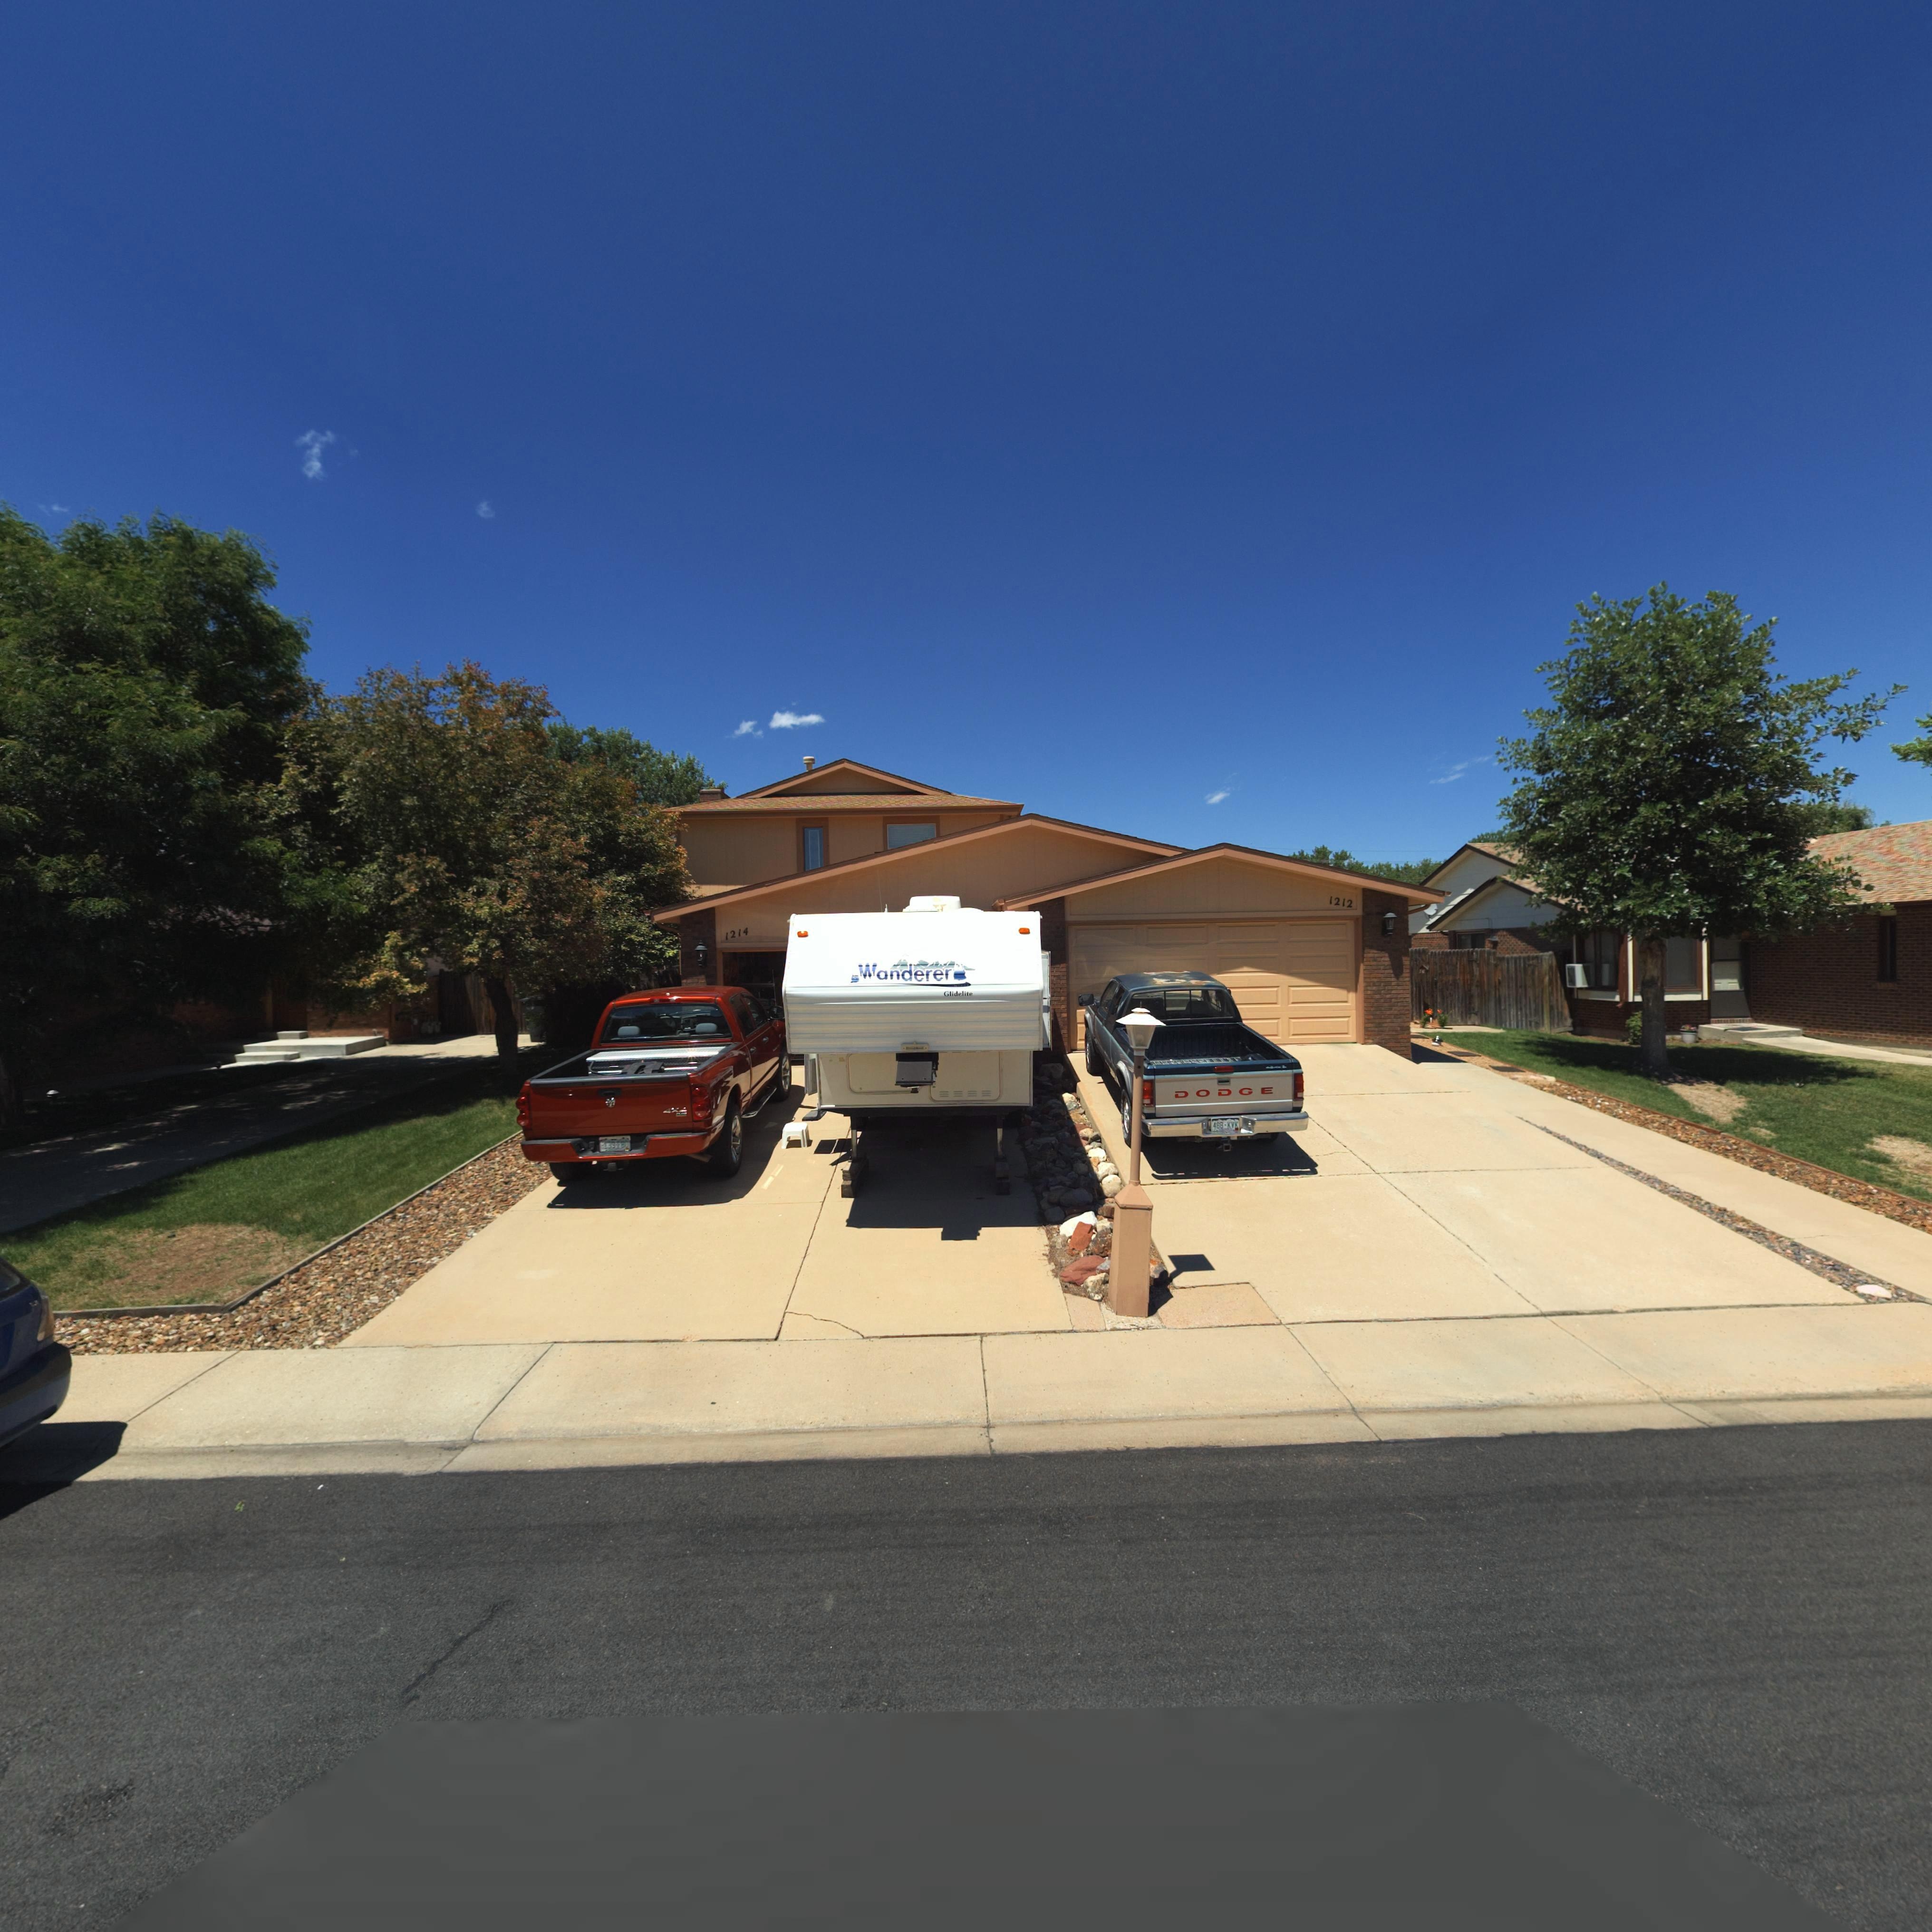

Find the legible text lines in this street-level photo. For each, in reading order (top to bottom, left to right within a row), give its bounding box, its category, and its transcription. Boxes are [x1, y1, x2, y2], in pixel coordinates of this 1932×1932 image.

[1329, 895, 1353, 908] StreetNumber: 1212
[724, 926, 749, 941] StreetNumber: 1214